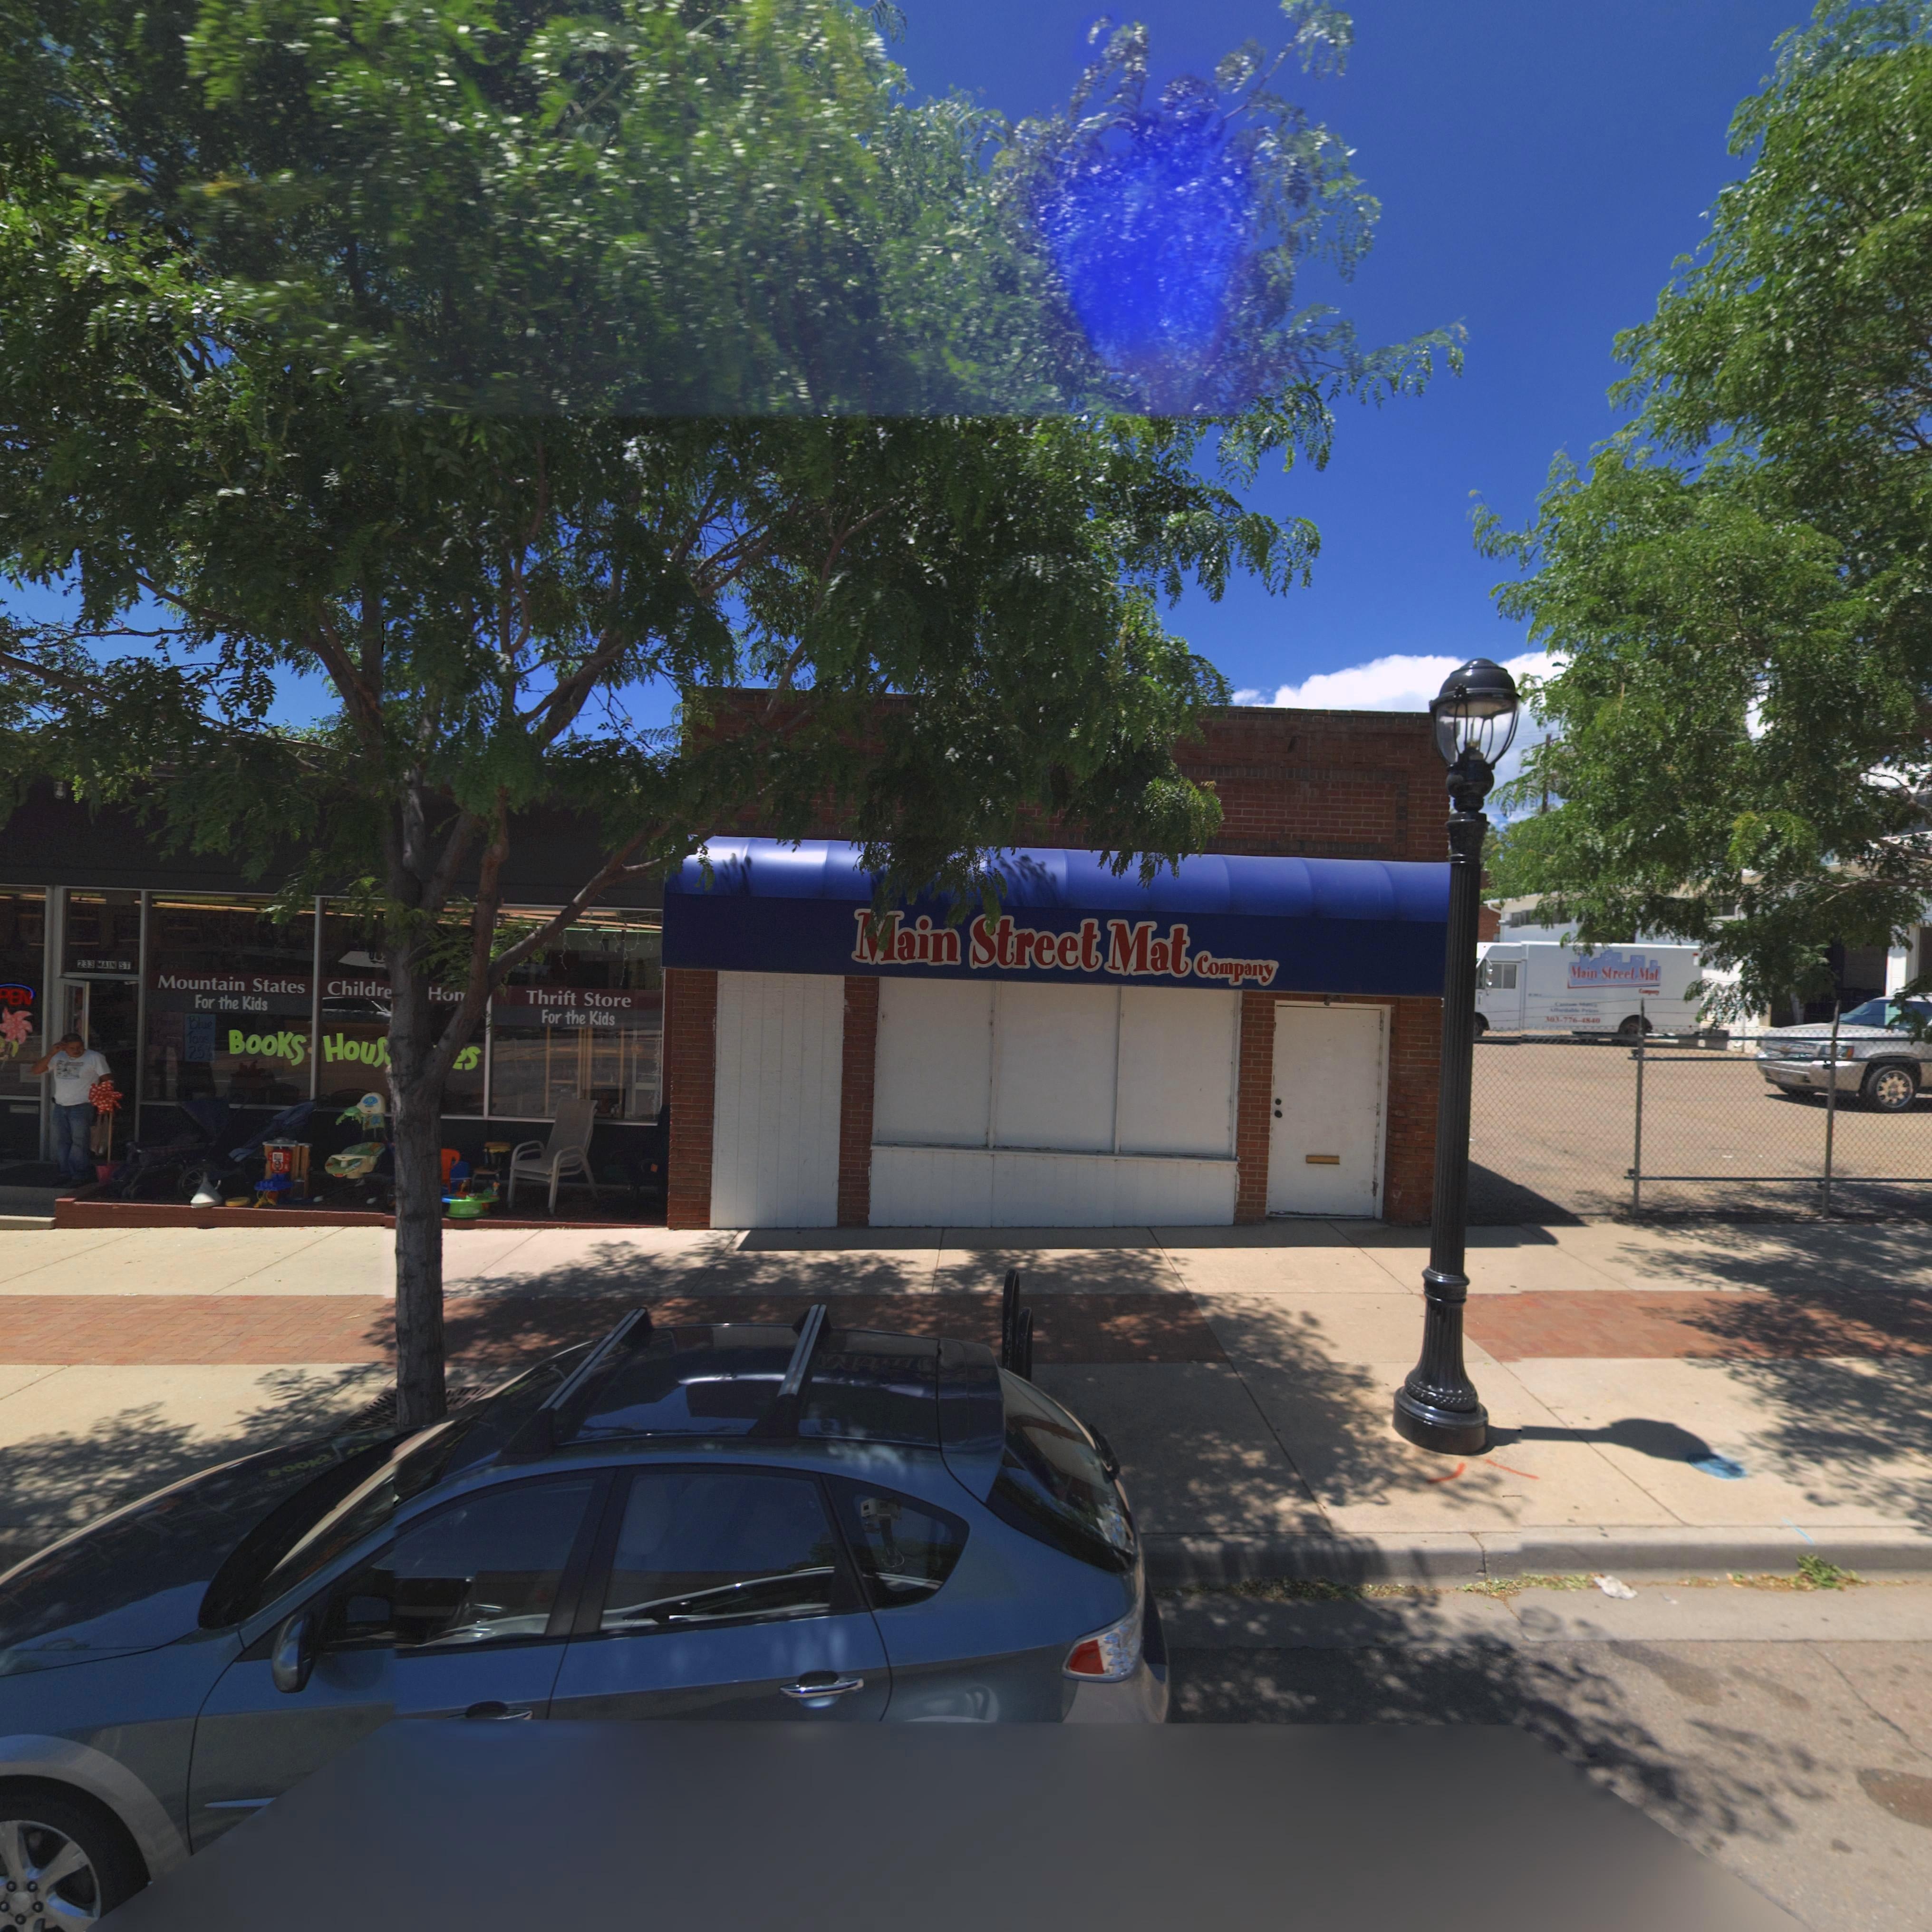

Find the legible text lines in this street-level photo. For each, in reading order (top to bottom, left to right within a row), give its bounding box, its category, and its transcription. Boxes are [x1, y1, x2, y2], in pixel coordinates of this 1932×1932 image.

[845, 906, 1286, 989] BusinessName: Main Street Mat Company
[77, 959, 94, 968] StreetNumber: 233
[97, 960, 131, 970] StreetName: MAIN ST